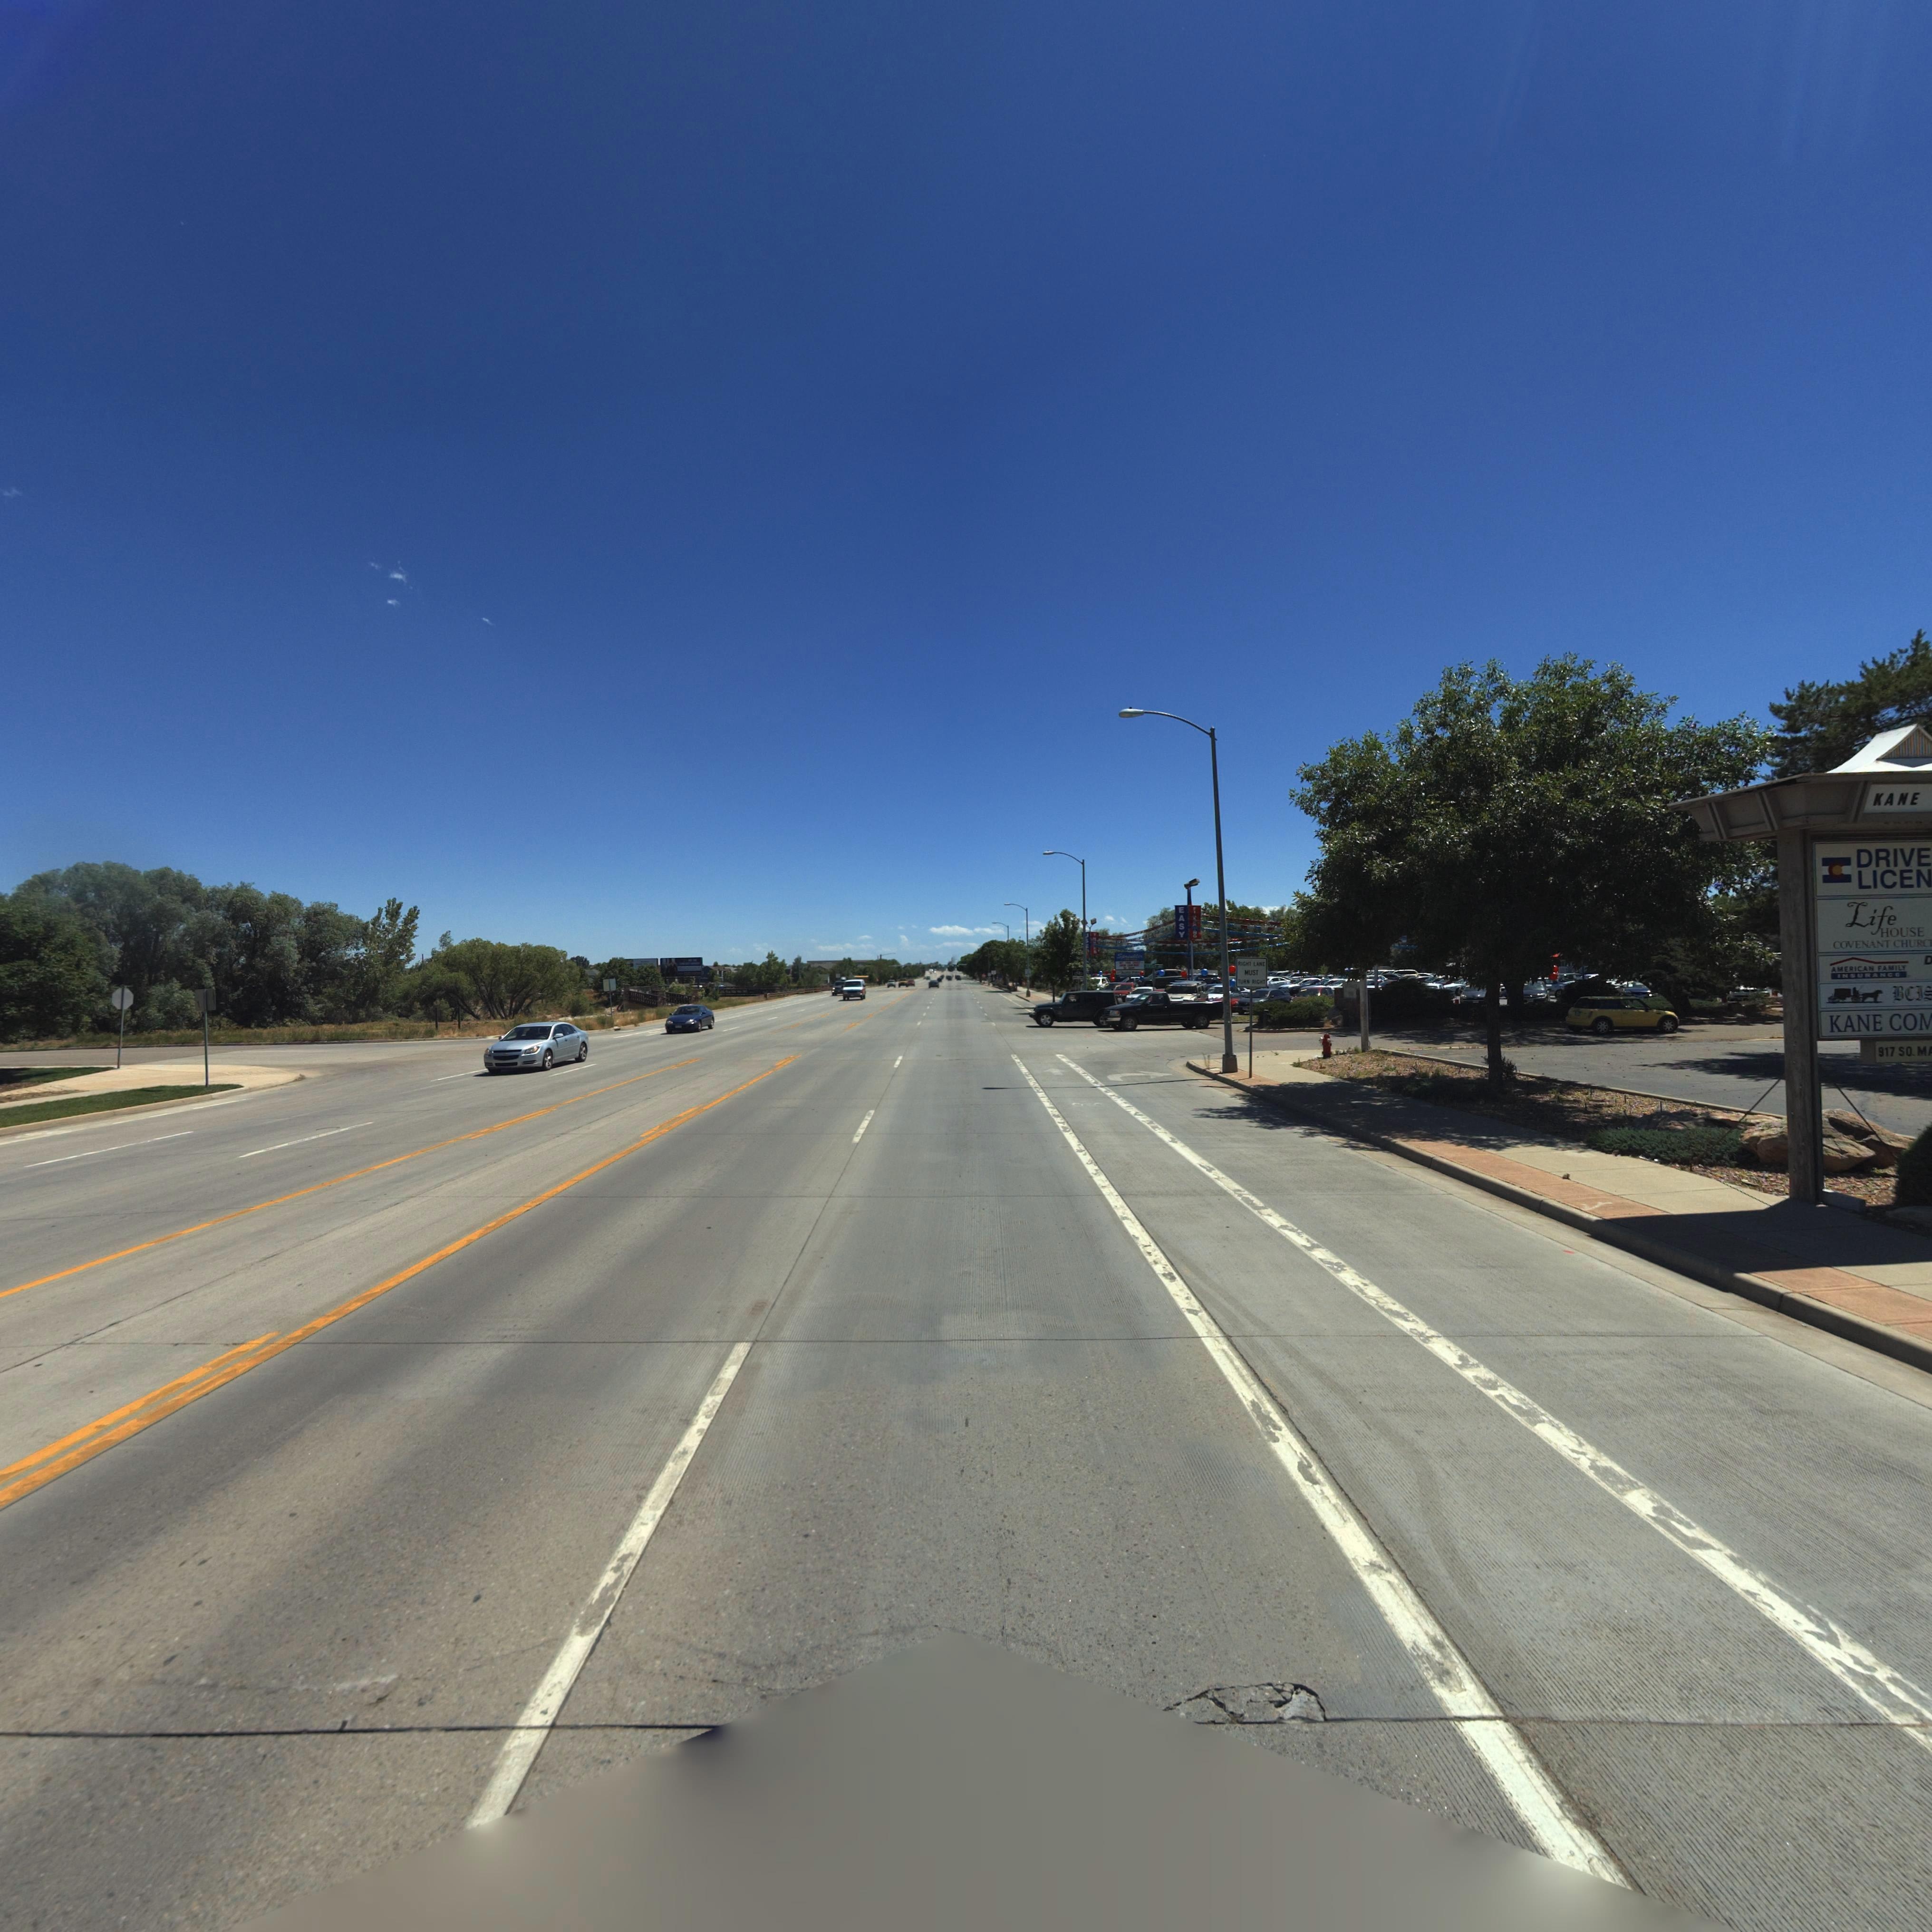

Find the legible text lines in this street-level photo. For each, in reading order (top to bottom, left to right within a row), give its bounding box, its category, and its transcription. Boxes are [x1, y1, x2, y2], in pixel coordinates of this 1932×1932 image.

[1846, 901, 1897, 927] BusinessName: Life
[1880, 927, 1925, 938] BusinessName: HOUSE
[1833, 938, 1930, 949] BusinessName: COVENANT CHURC
[1116, 953, 1143, 959] BusinessName: Spr**kler
[1831, 964, 1906, 973] BusinessName: AMERICAN FAMILY
[1837, 972, 1899, 978] BusinessName: INSURANCE
[1893, 985, 1922, 1001] BusinessName: BCI
[1878, 1046, 1895, 1057] StreetNumber: 917
[1898, 1046, 1927, 1057] StreetName: SO. M